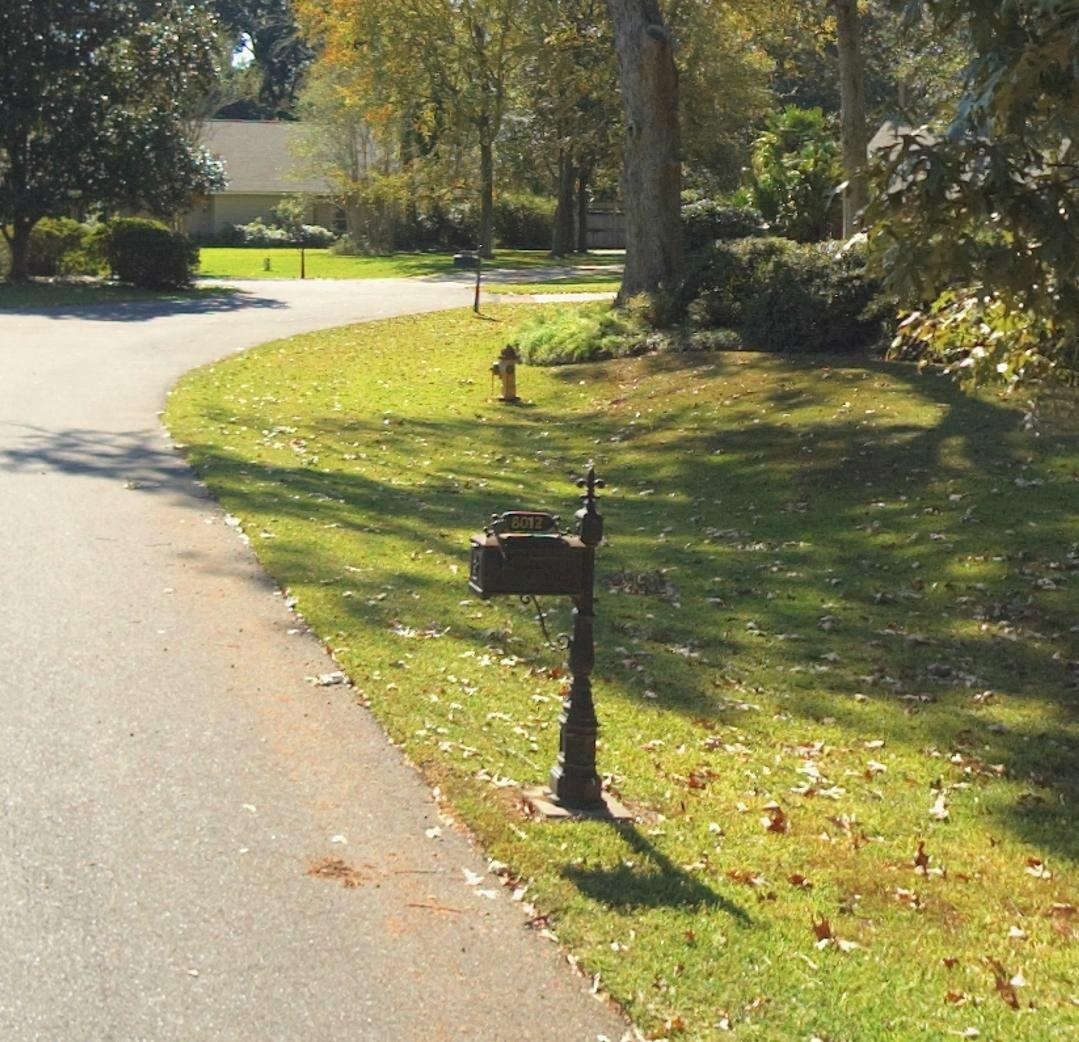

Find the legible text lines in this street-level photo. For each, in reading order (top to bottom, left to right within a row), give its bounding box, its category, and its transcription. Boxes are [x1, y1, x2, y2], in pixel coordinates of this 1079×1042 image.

[510, 515, 544, 530] StreetNumber: 8012